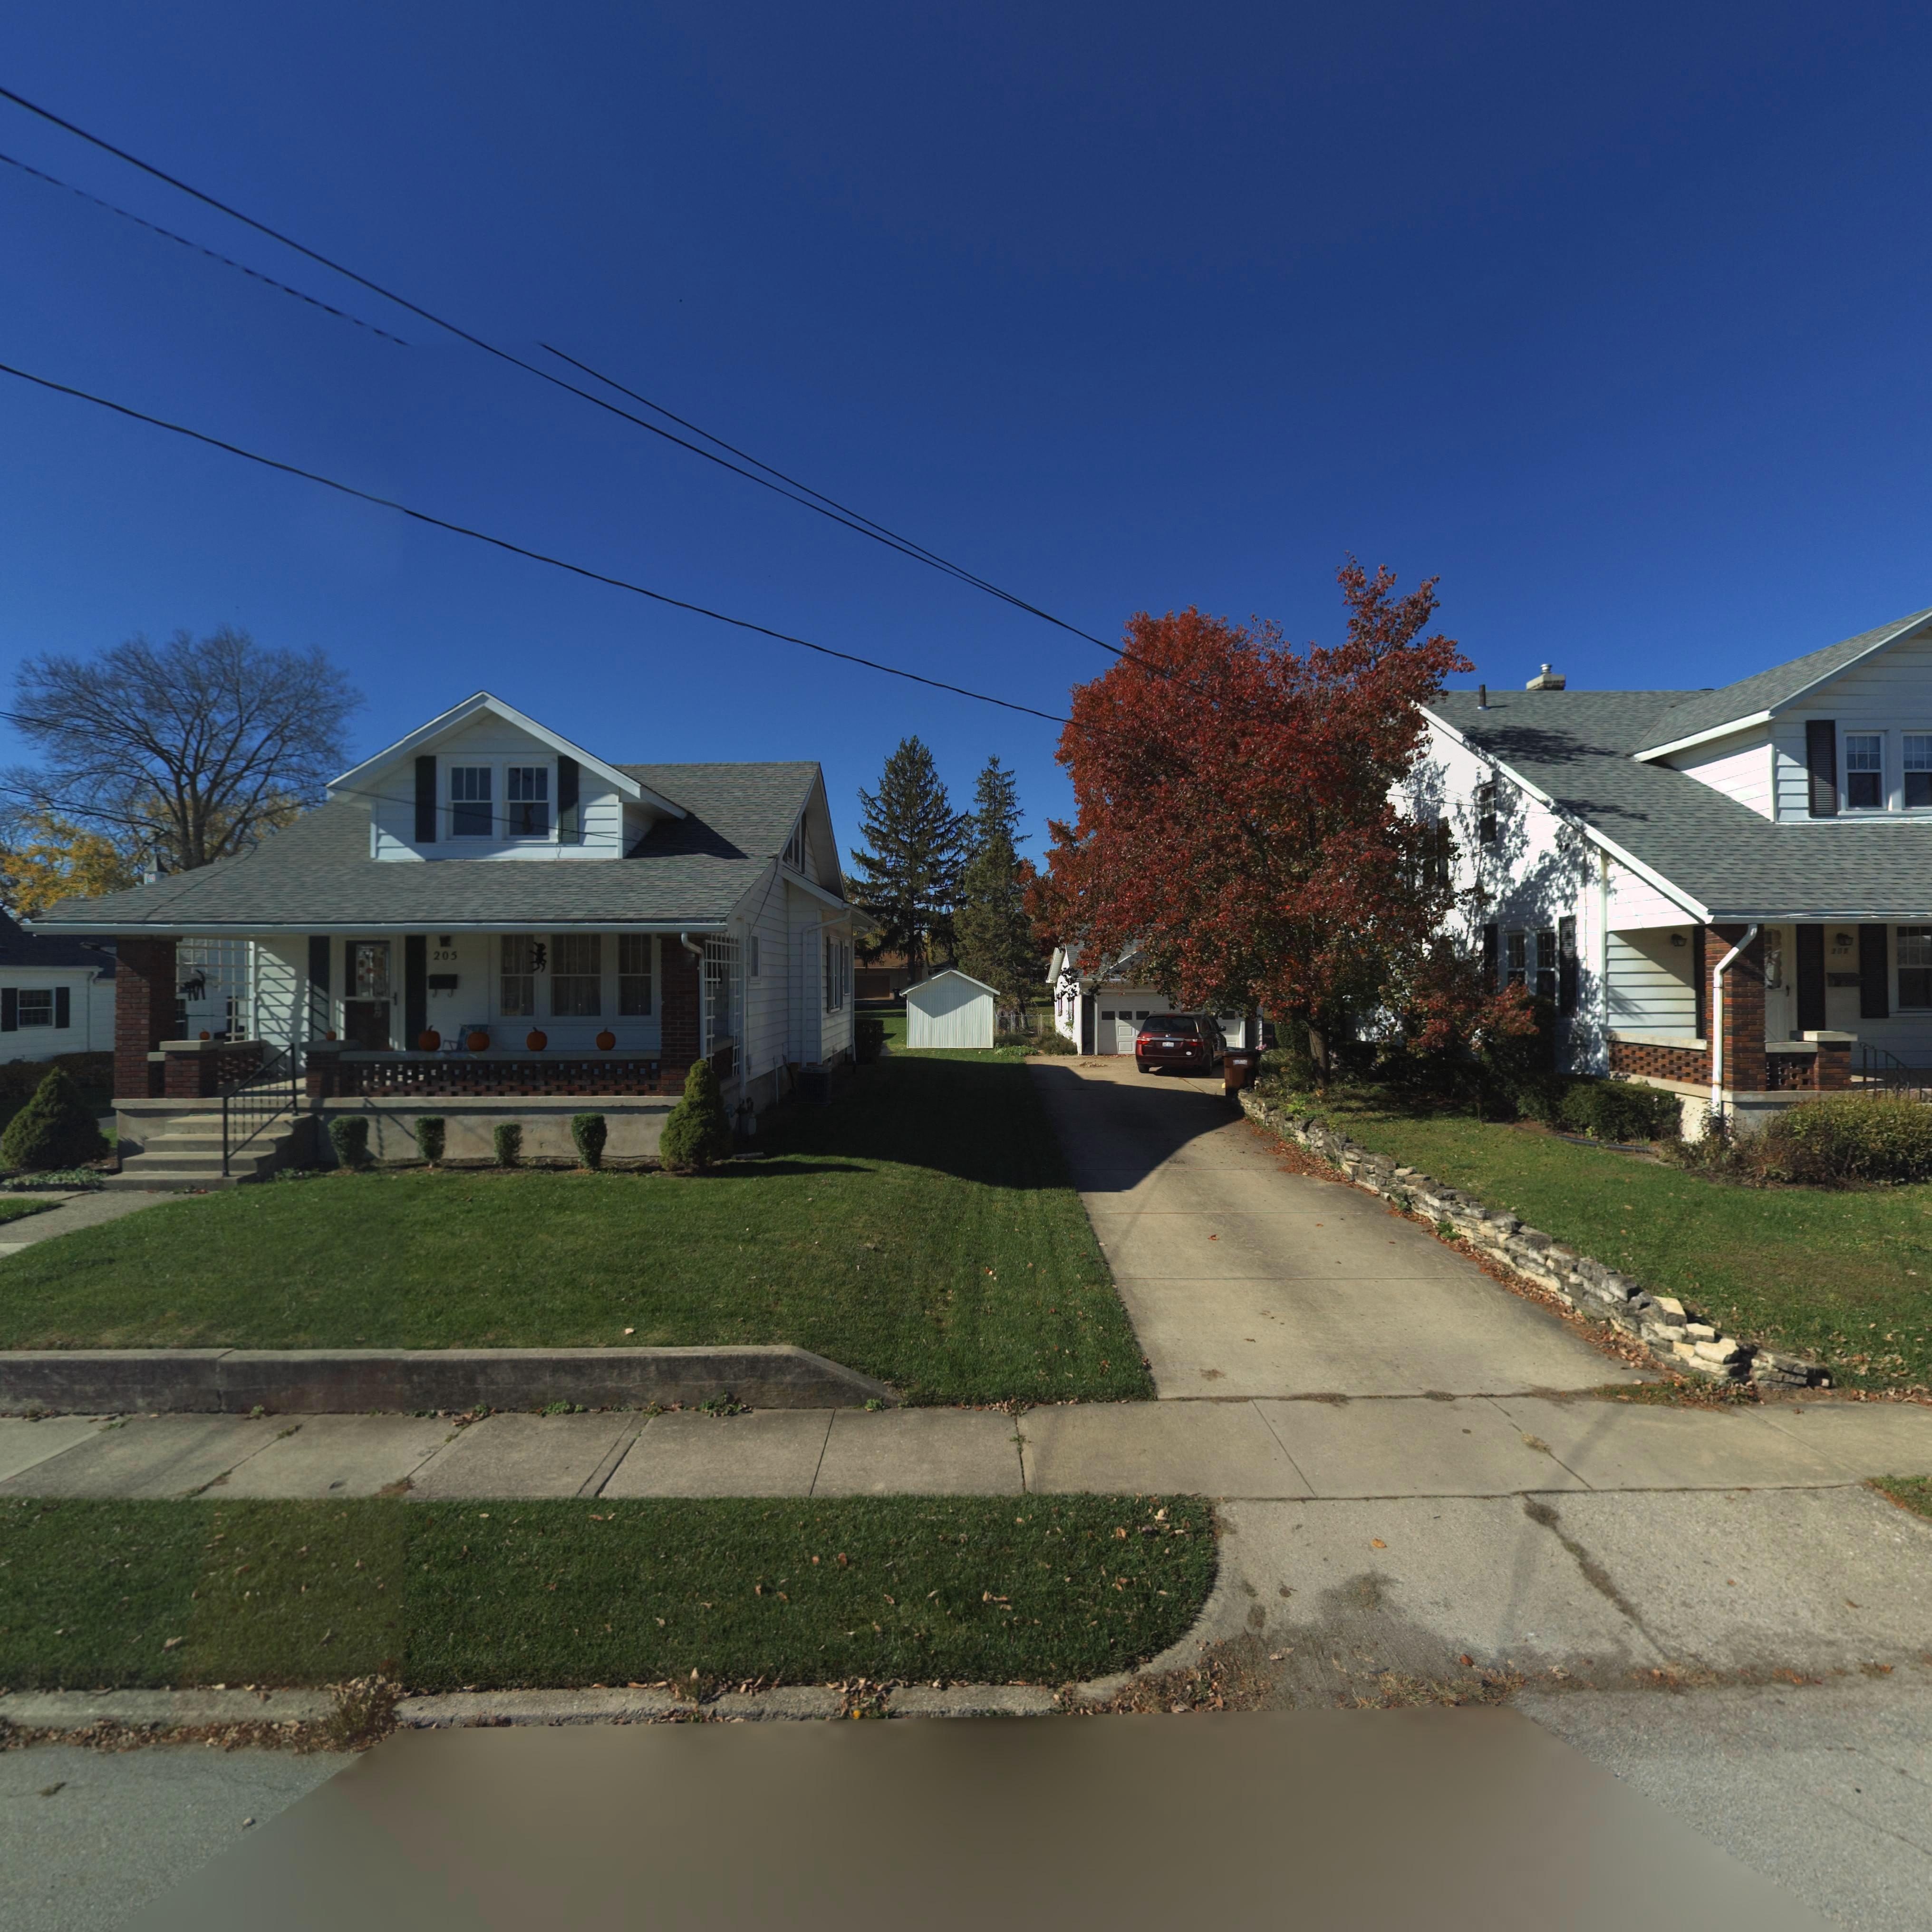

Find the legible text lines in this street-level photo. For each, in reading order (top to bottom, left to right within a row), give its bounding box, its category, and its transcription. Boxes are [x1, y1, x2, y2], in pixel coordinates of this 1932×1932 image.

[1830, 947, 1849, 955] StreetNumber: *07
[433, 951, 457, 960] StreetNumber: 205